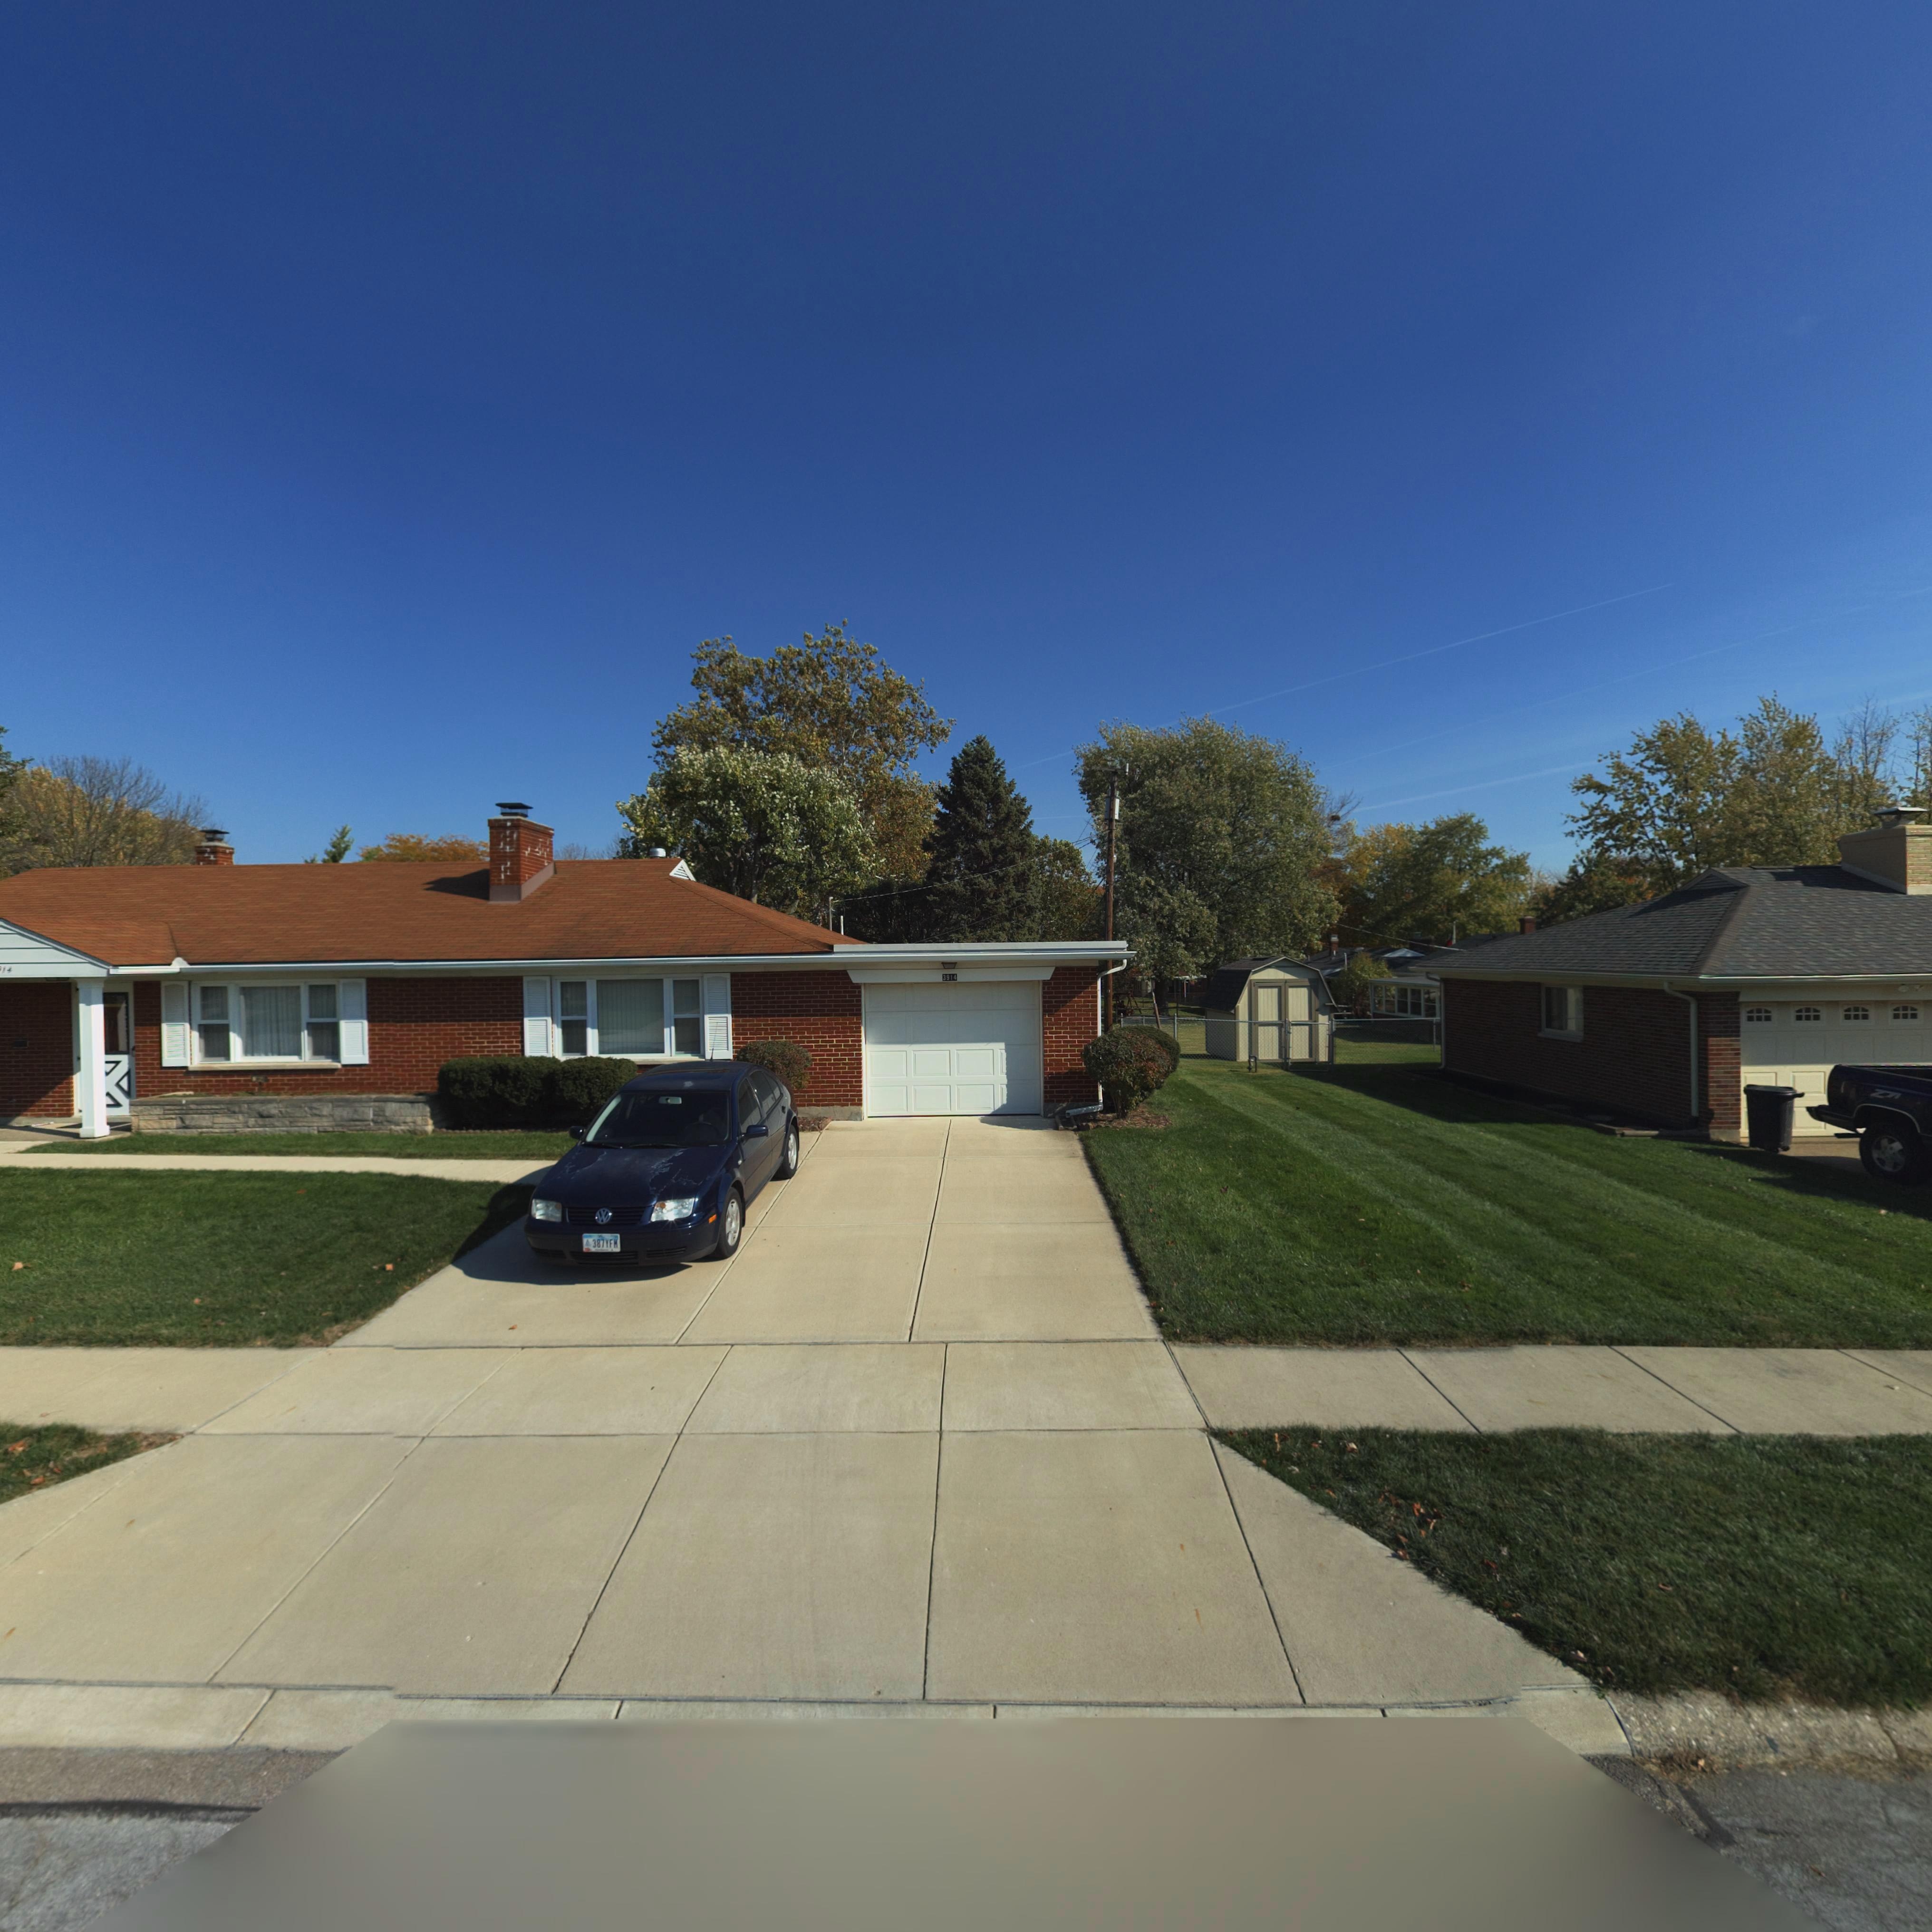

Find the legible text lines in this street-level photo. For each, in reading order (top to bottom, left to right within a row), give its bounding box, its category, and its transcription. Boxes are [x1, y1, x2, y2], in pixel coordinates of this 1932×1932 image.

[943, 974, 957, 981] StreetNumber: 3914
[1869, 1088, 1903, 1100] None: Z71
[591, 1238, 618, 1248] None: 387YFM